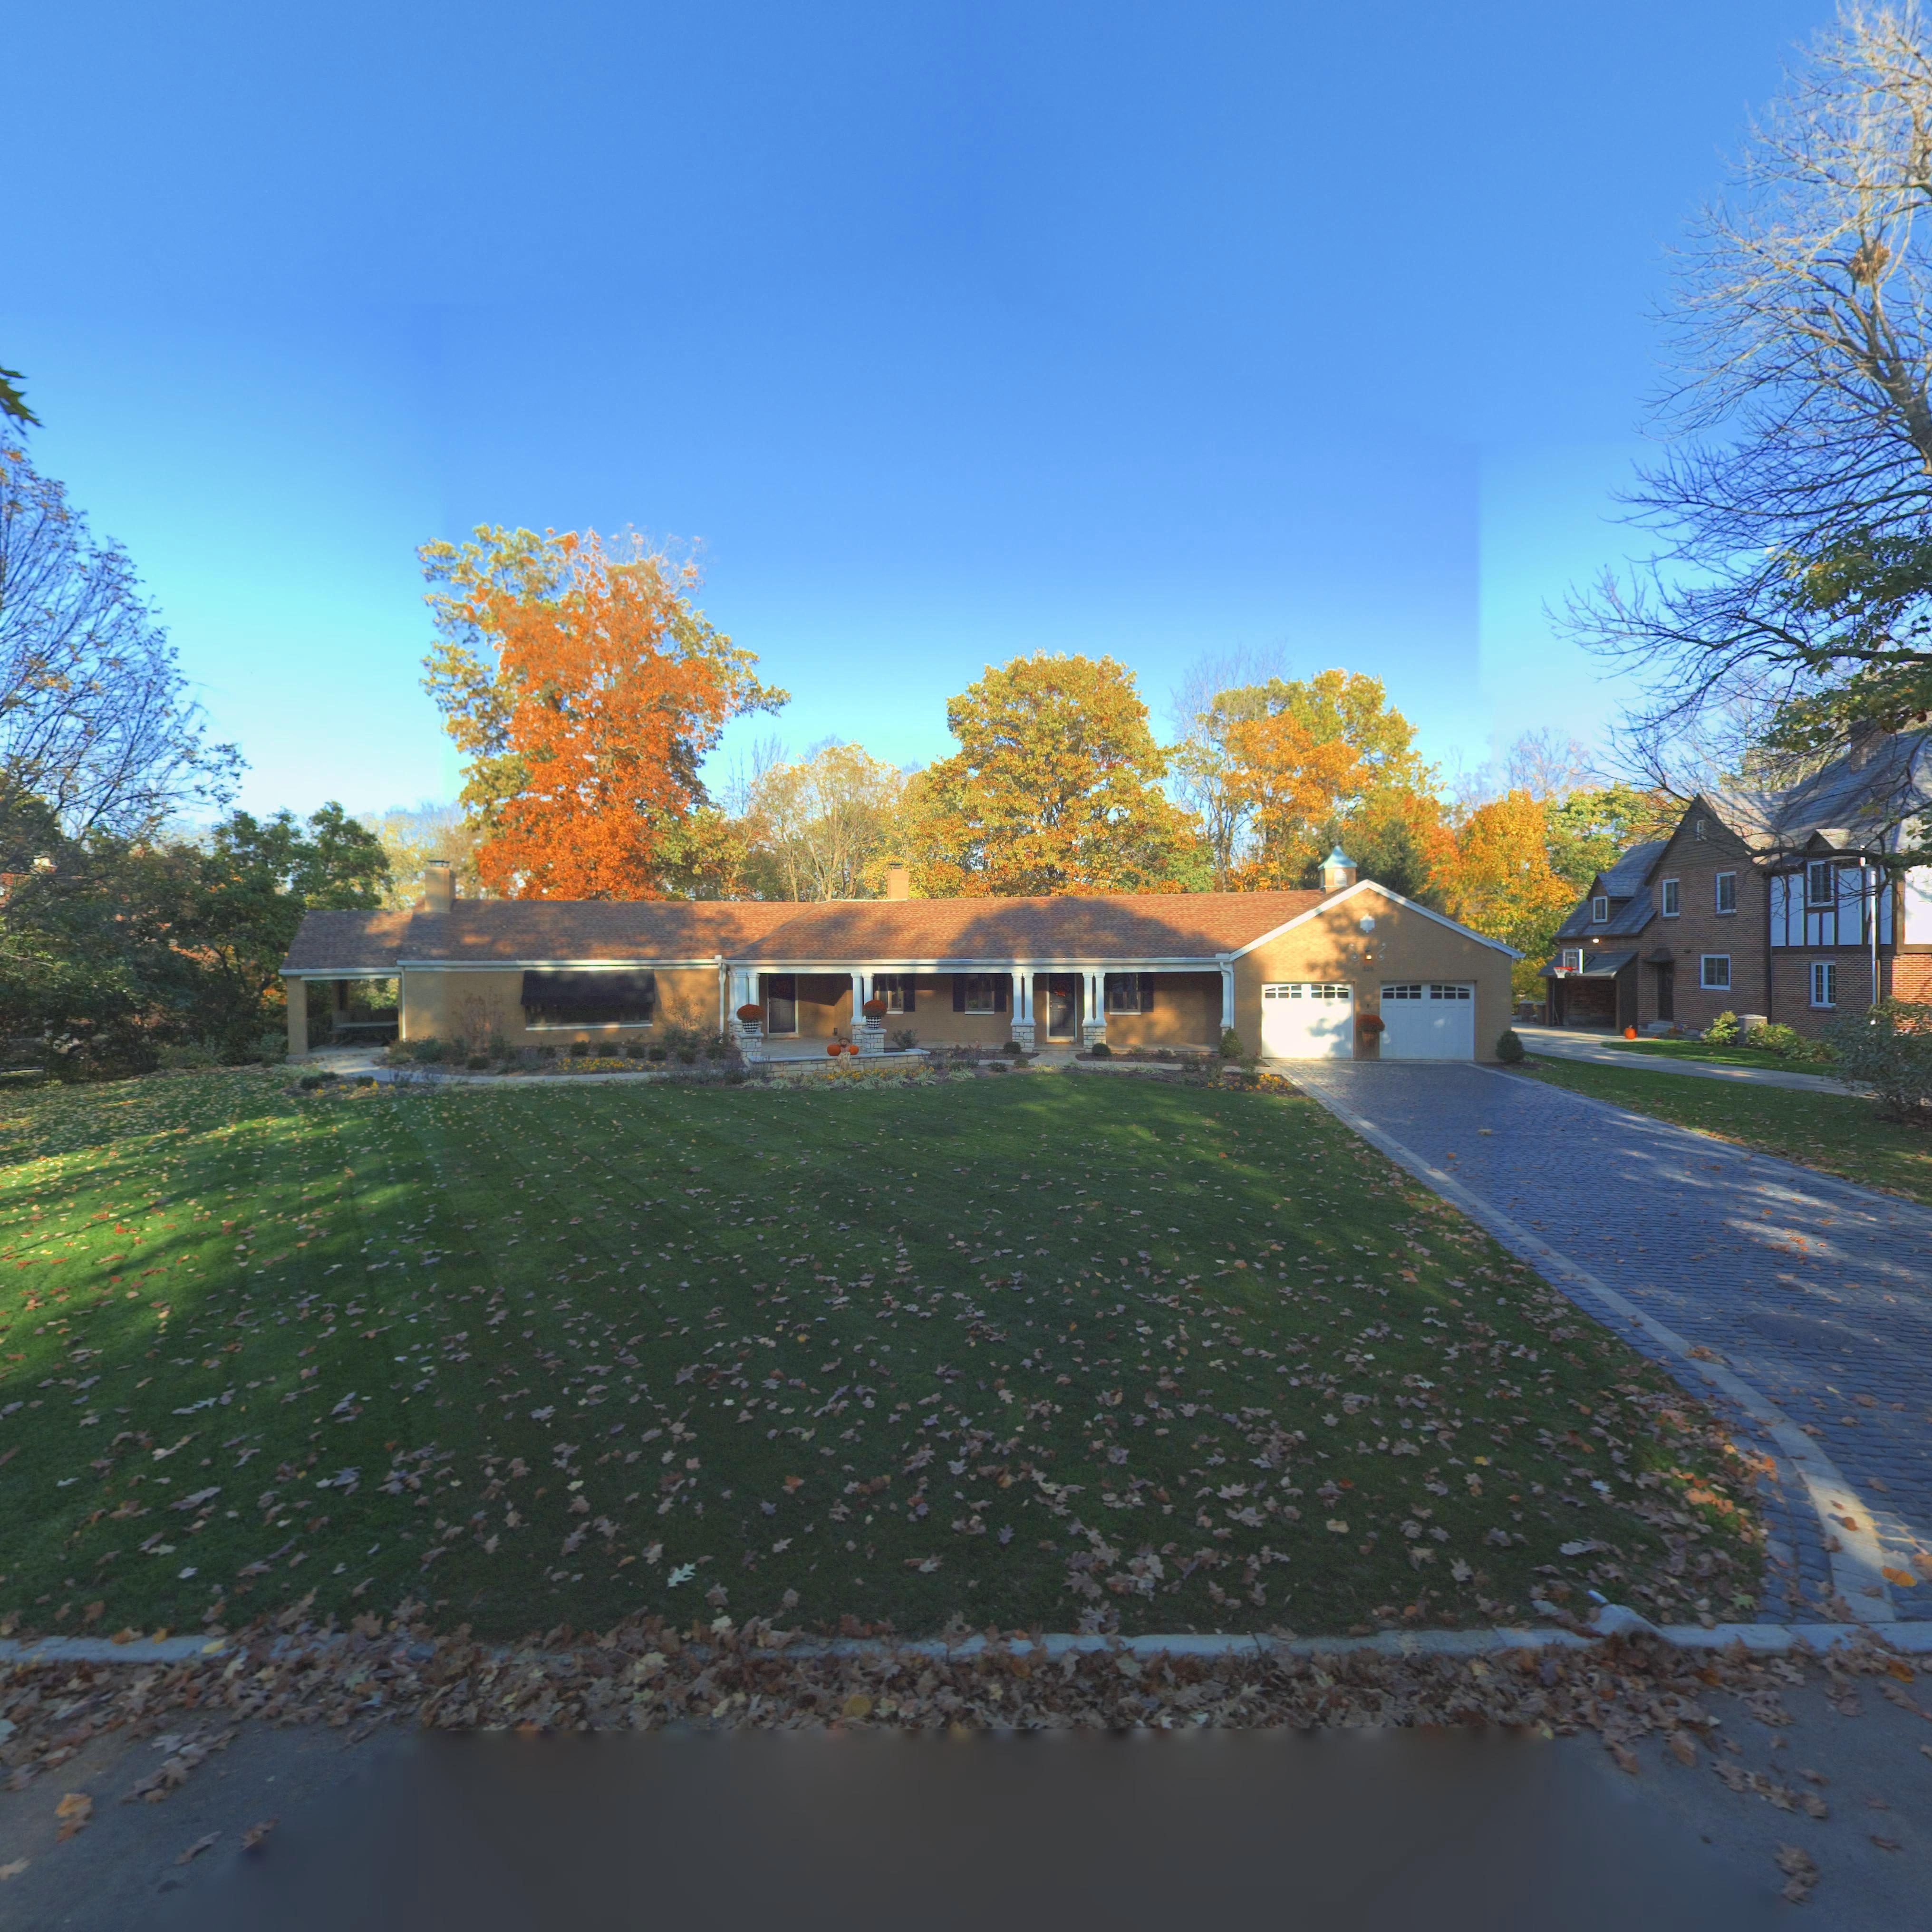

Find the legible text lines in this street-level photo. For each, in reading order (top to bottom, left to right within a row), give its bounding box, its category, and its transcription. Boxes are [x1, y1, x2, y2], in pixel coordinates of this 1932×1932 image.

[1362, 965, 1374, 973] StreetNumber: 320